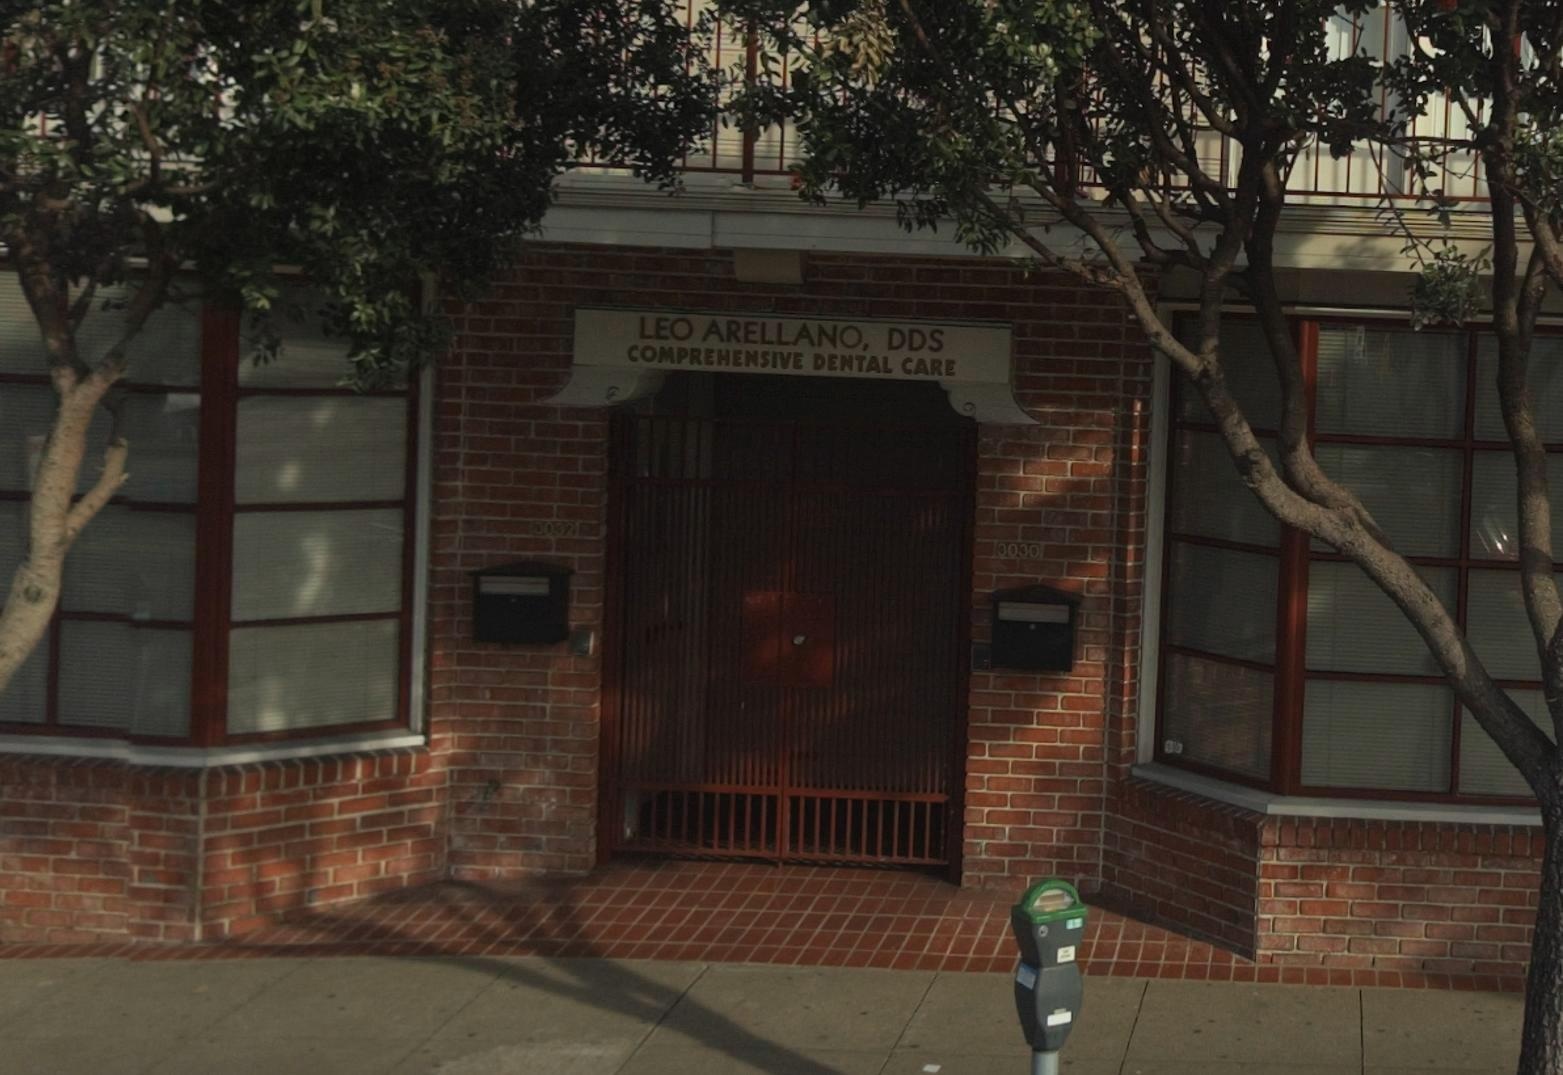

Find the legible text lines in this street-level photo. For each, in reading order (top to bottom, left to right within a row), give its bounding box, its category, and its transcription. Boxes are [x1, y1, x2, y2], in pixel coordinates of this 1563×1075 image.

[636, 310, 948, 357] BusinessName: LEO ARELLANO, DDS
[623, 340, 959, 379] BusinessName: COMPREHENSIVE DENTAL CARE
[531, 518, 577, 540] StreetNumber: 3032
[993, 539, 1043, 561] StreetNumber: 3030